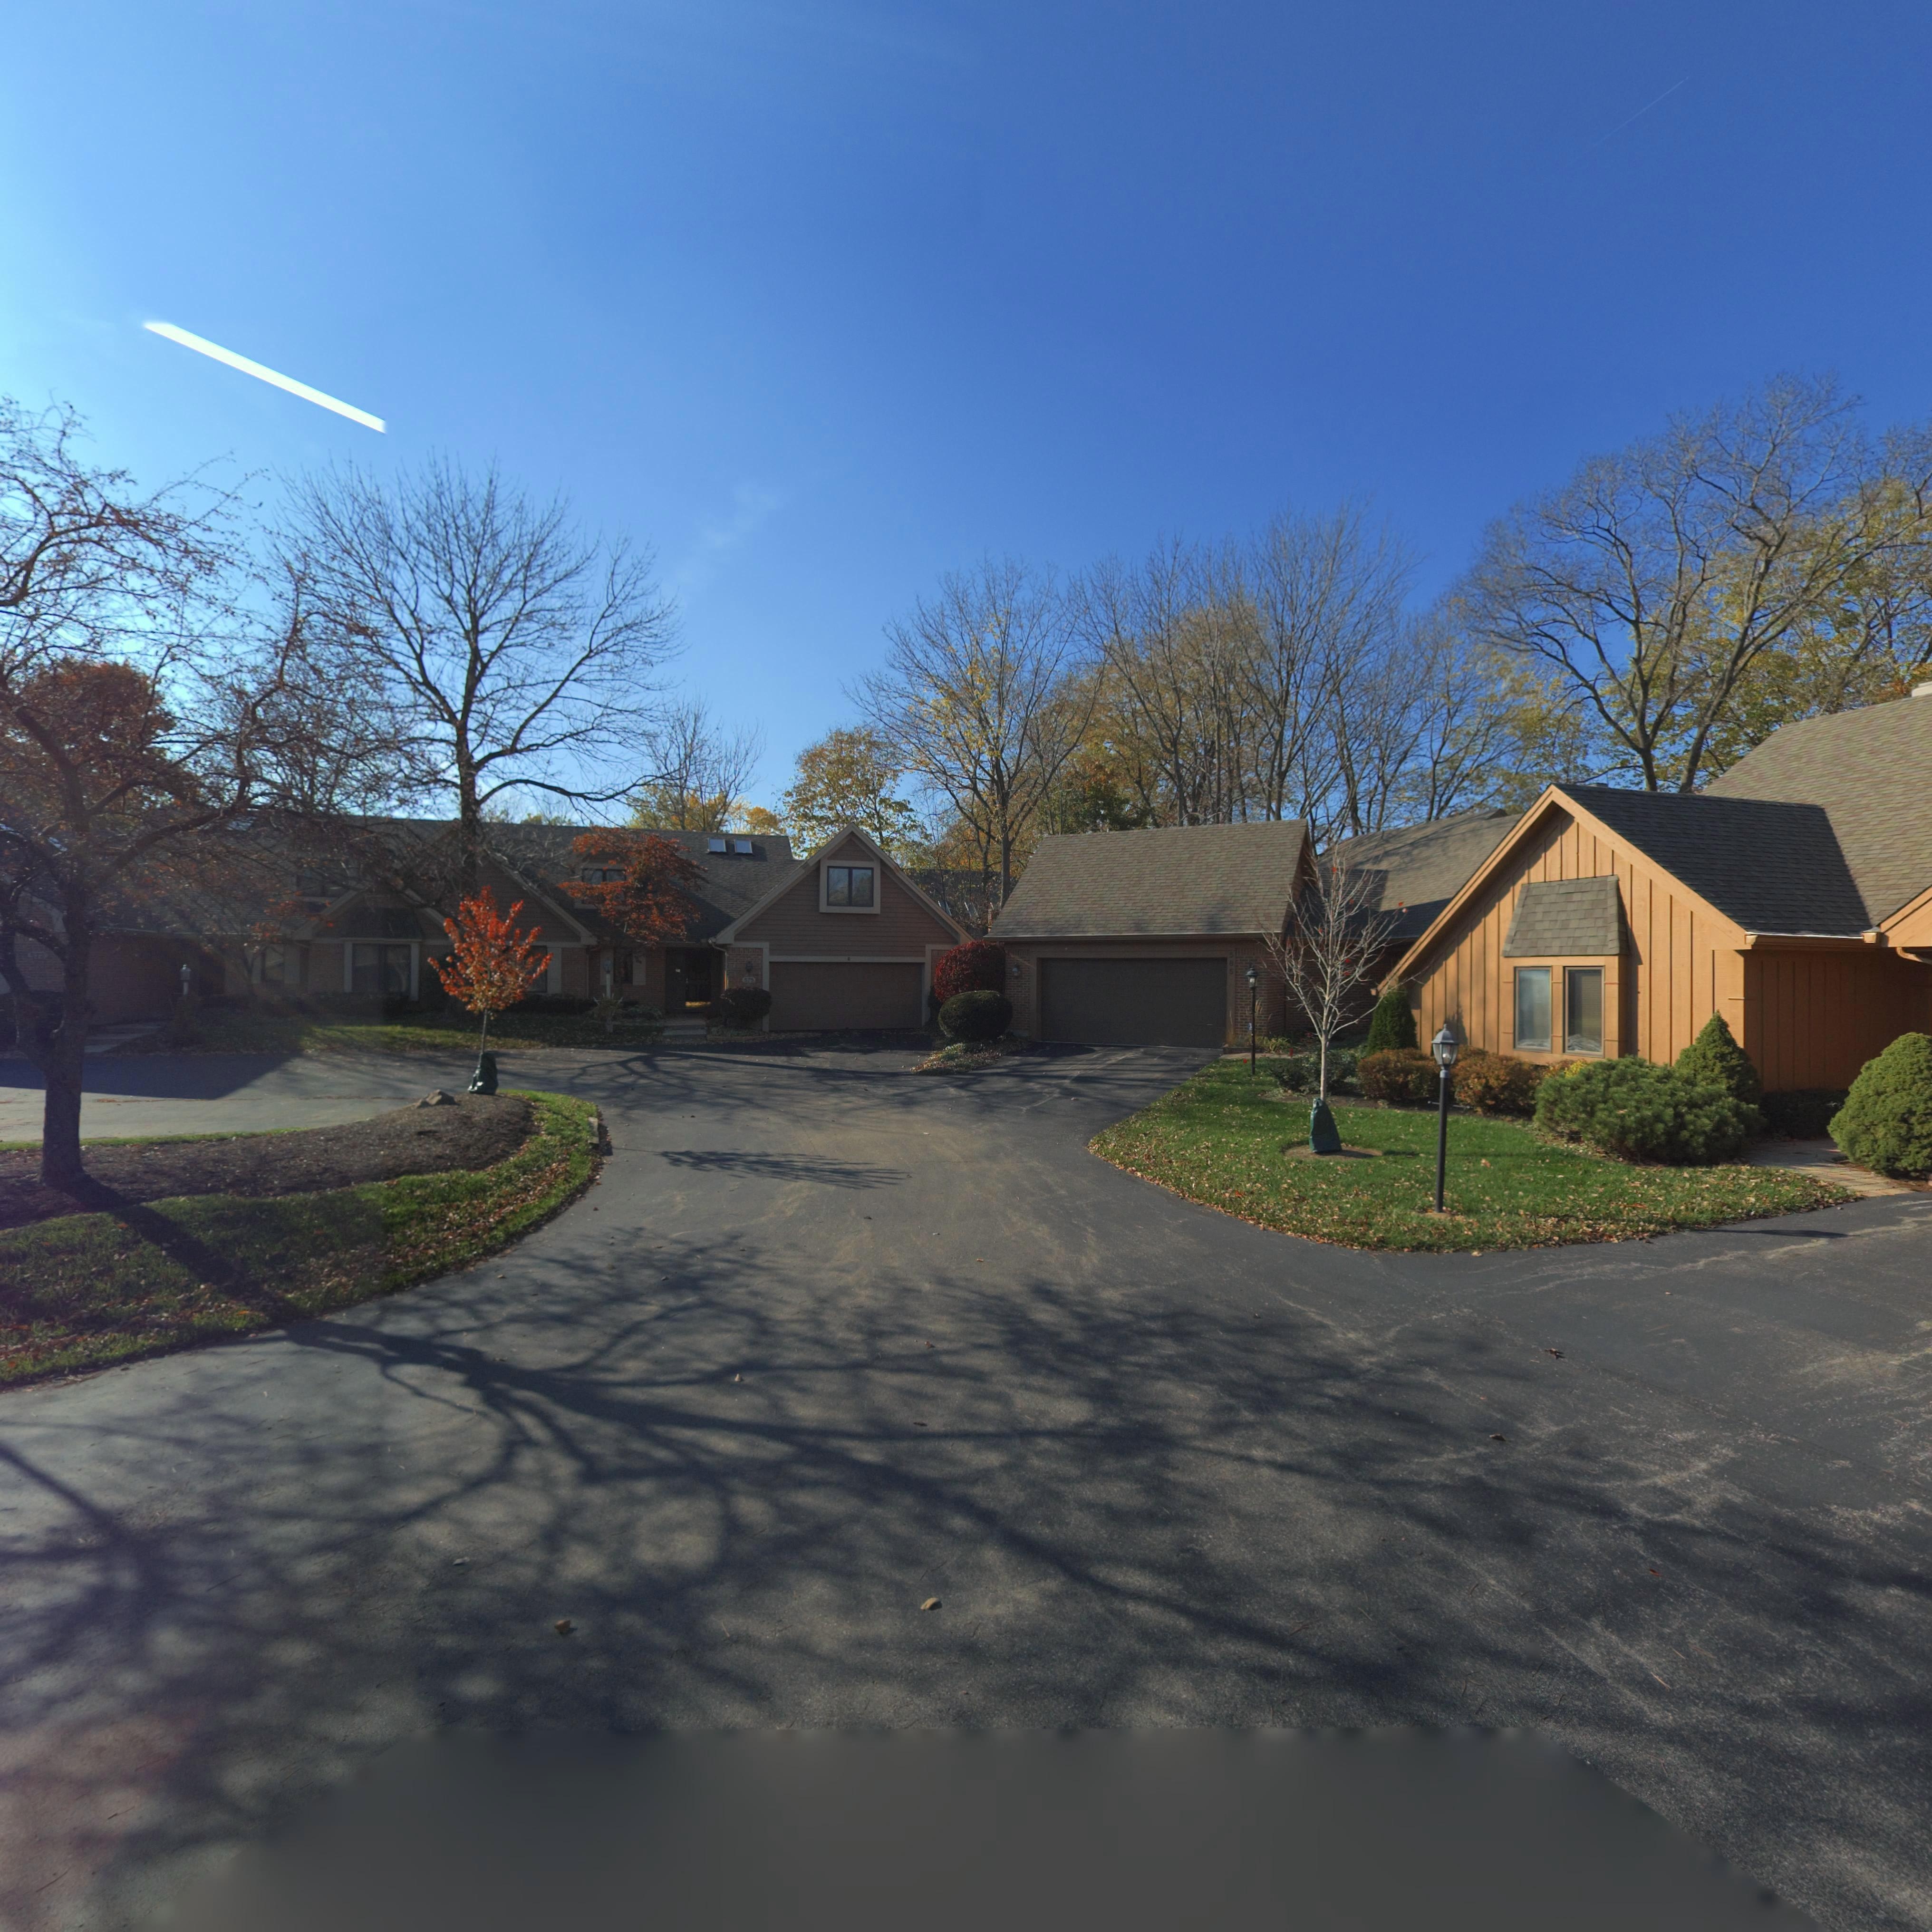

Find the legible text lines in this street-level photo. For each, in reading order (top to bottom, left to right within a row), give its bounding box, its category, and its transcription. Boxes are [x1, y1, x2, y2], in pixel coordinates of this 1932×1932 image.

[1228, 950, 1234, 975] StreetNumber: 585
[744, 977, 754, 983] StreetNumber: 575